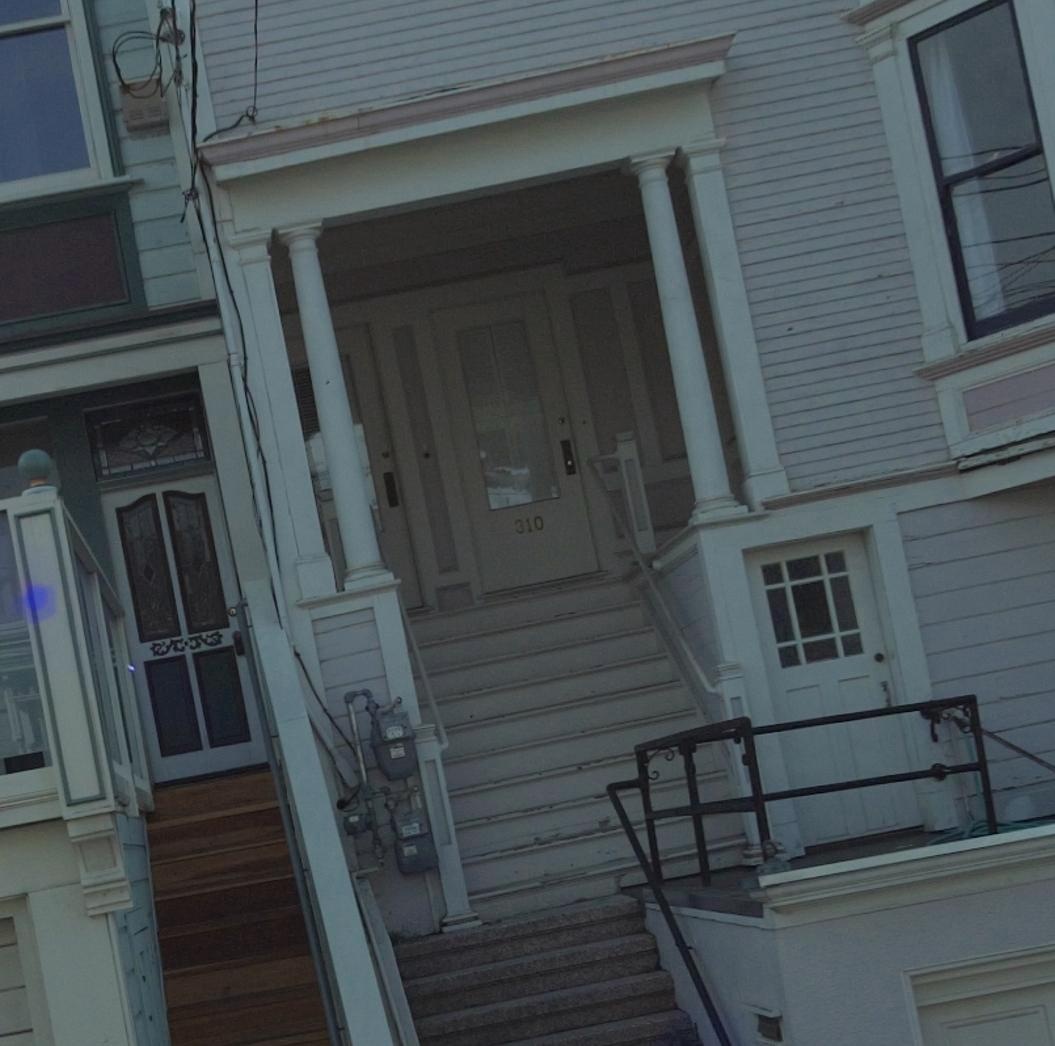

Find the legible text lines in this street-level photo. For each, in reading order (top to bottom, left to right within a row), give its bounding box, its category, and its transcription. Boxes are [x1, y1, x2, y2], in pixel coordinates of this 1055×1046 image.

[513, 514, 546, 536] StreetNumber: 310